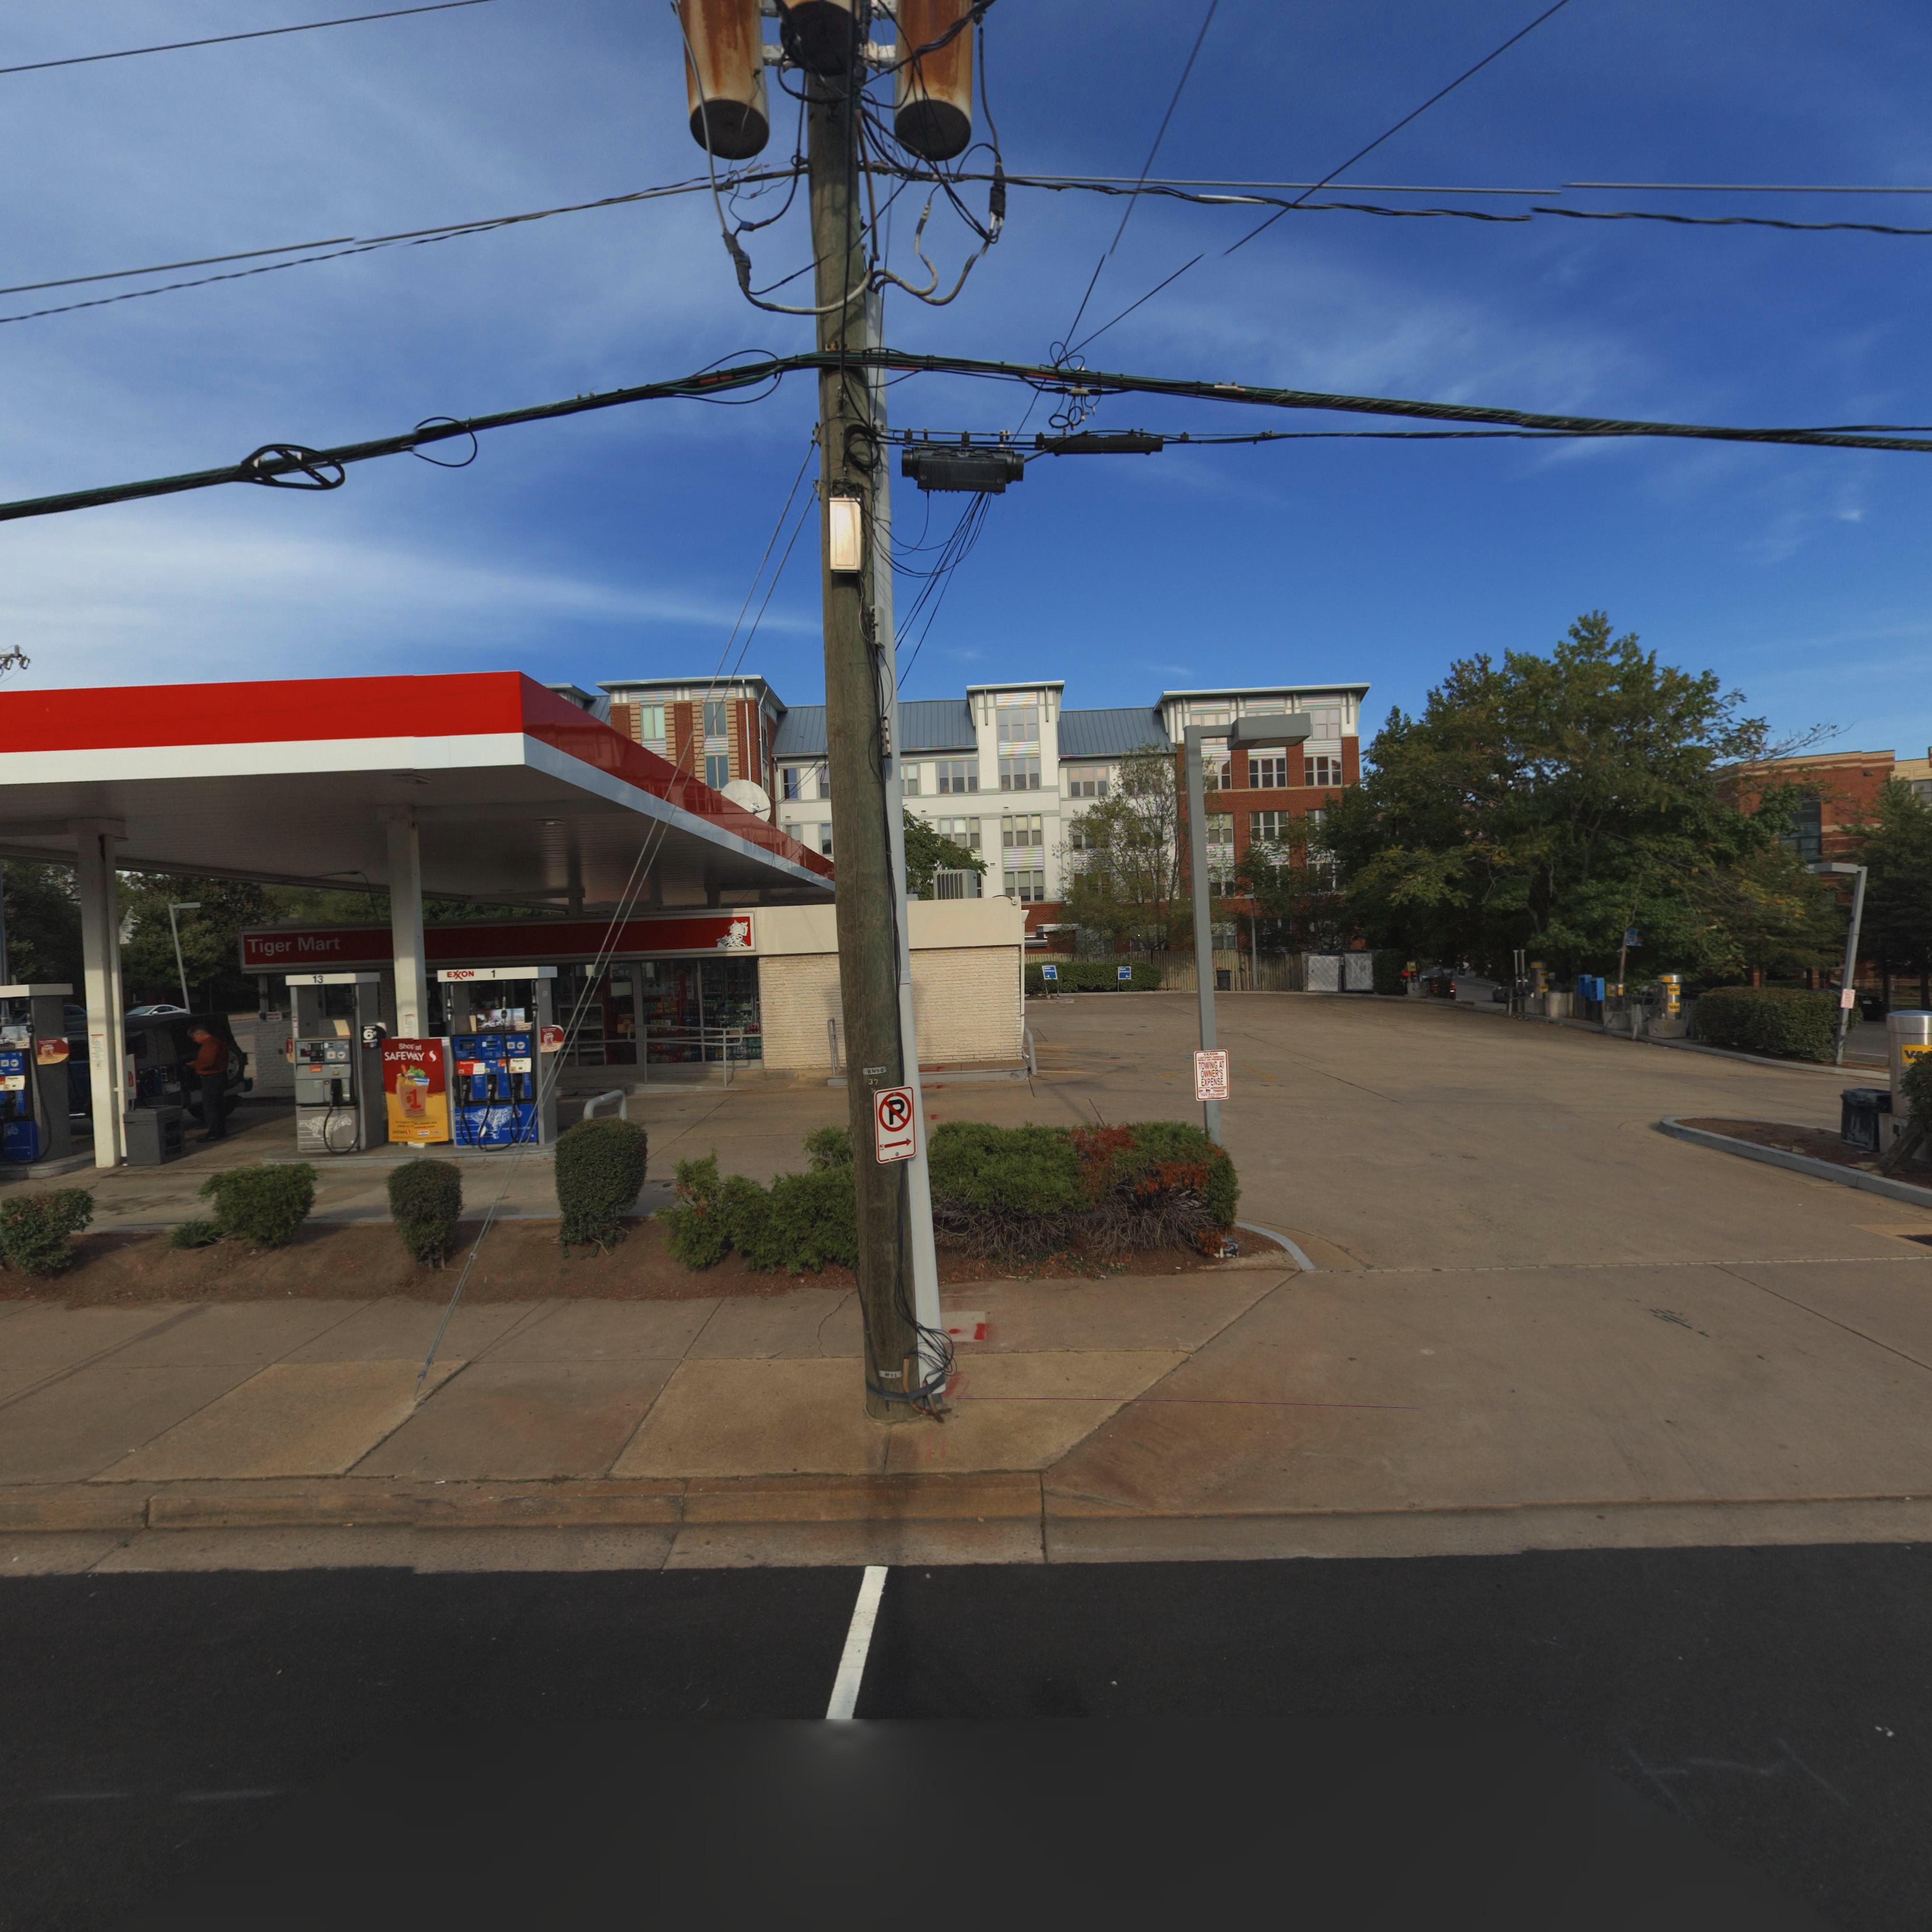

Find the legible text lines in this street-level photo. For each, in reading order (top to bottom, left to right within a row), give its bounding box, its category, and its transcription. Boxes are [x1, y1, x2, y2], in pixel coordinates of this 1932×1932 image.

[246, 936, 340, 957] None: Tiger Mart
[312, 975, 324, 984] None: 13
[446, 970, 474, 980] None: E*ON
[491, 969, 495, 978] None: 1
[363, 1029, 374, 1040] None: 6
[398, 1043, 422, 1051] None: Shop at
[384, 1051, 426, 1062] None: SAFEWAY
[1904, 1050, 1916, 1059] None: V
[1198, 1060, 1225, 1071] None: TOWING AT
[867, 1068, 884, 1074] None: *N90
[1200, 1069, 1224, 1078] None: OWNER'S
[868, 1078, 879, 1087] None: 37
[1201, 1077, 1224, 1087] None: EXPENSE
[410, 1089, 422, 1110] None: 1
[885, 1372, 897, 1378] None: M91